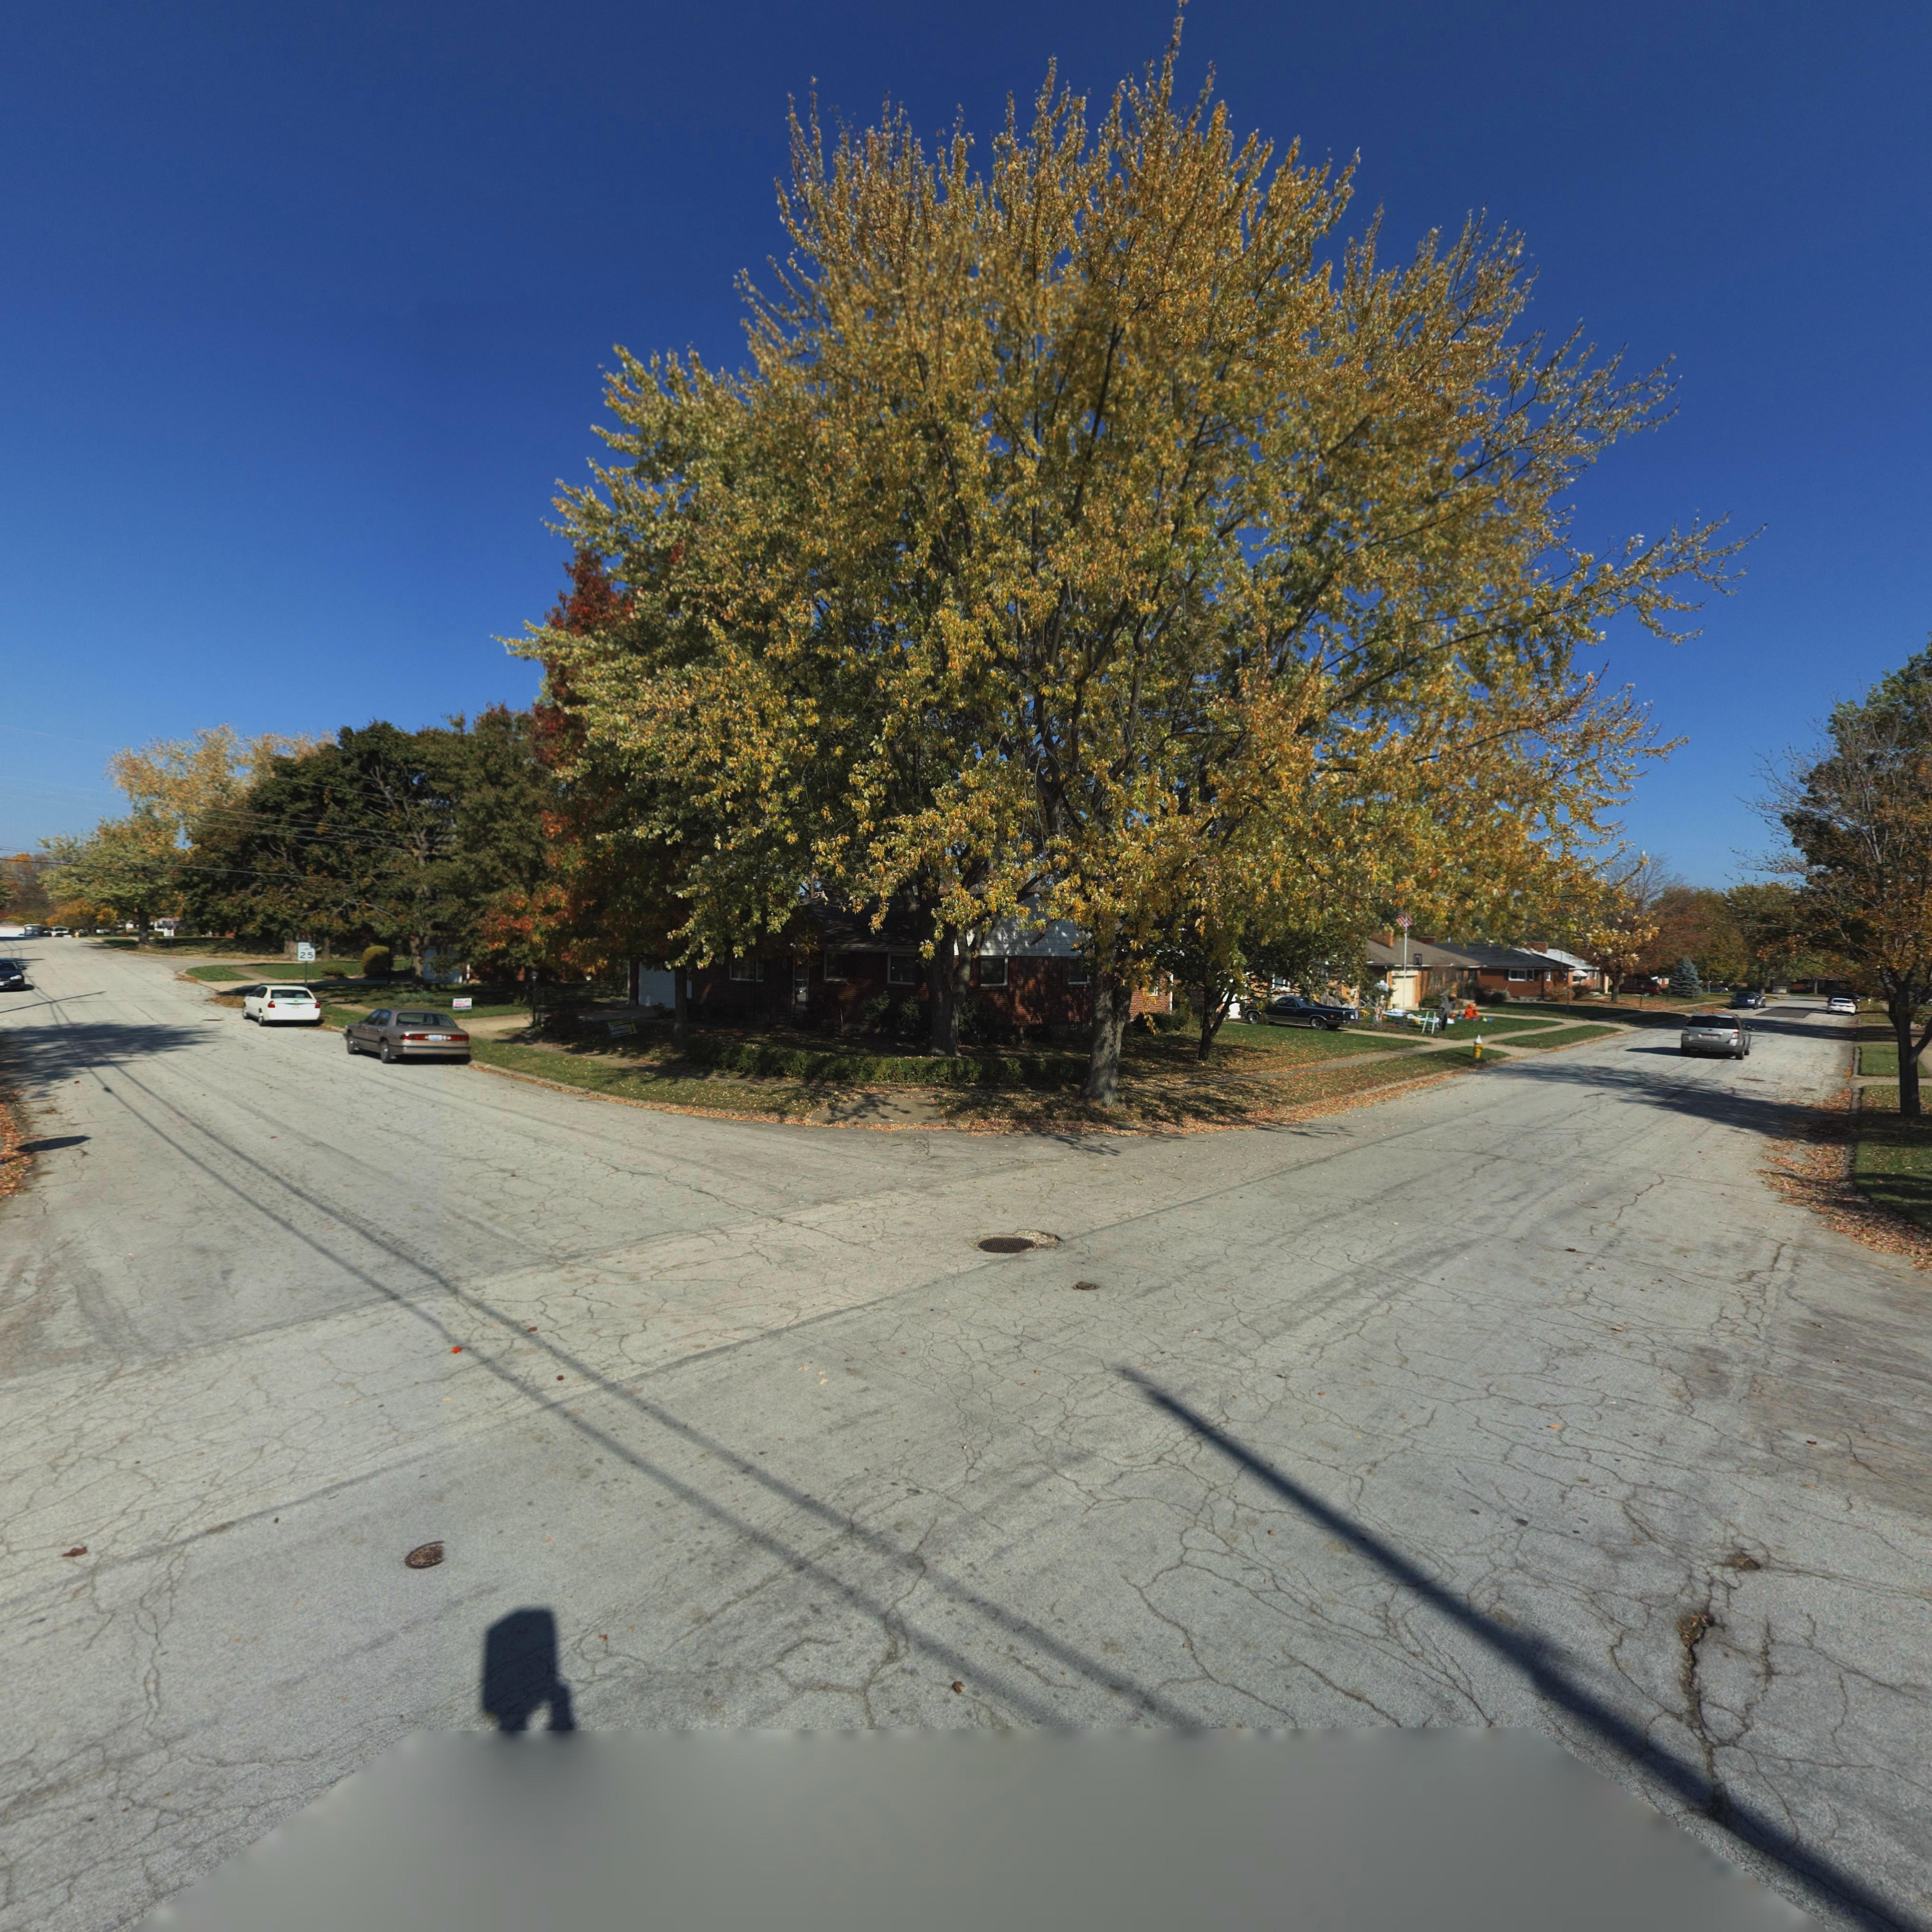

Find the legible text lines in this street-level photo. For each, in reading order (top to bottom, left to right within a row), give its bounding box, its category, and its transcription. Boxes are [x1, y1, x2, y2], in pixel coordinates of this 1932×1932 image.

[299, 952, 314, 959] None: 25